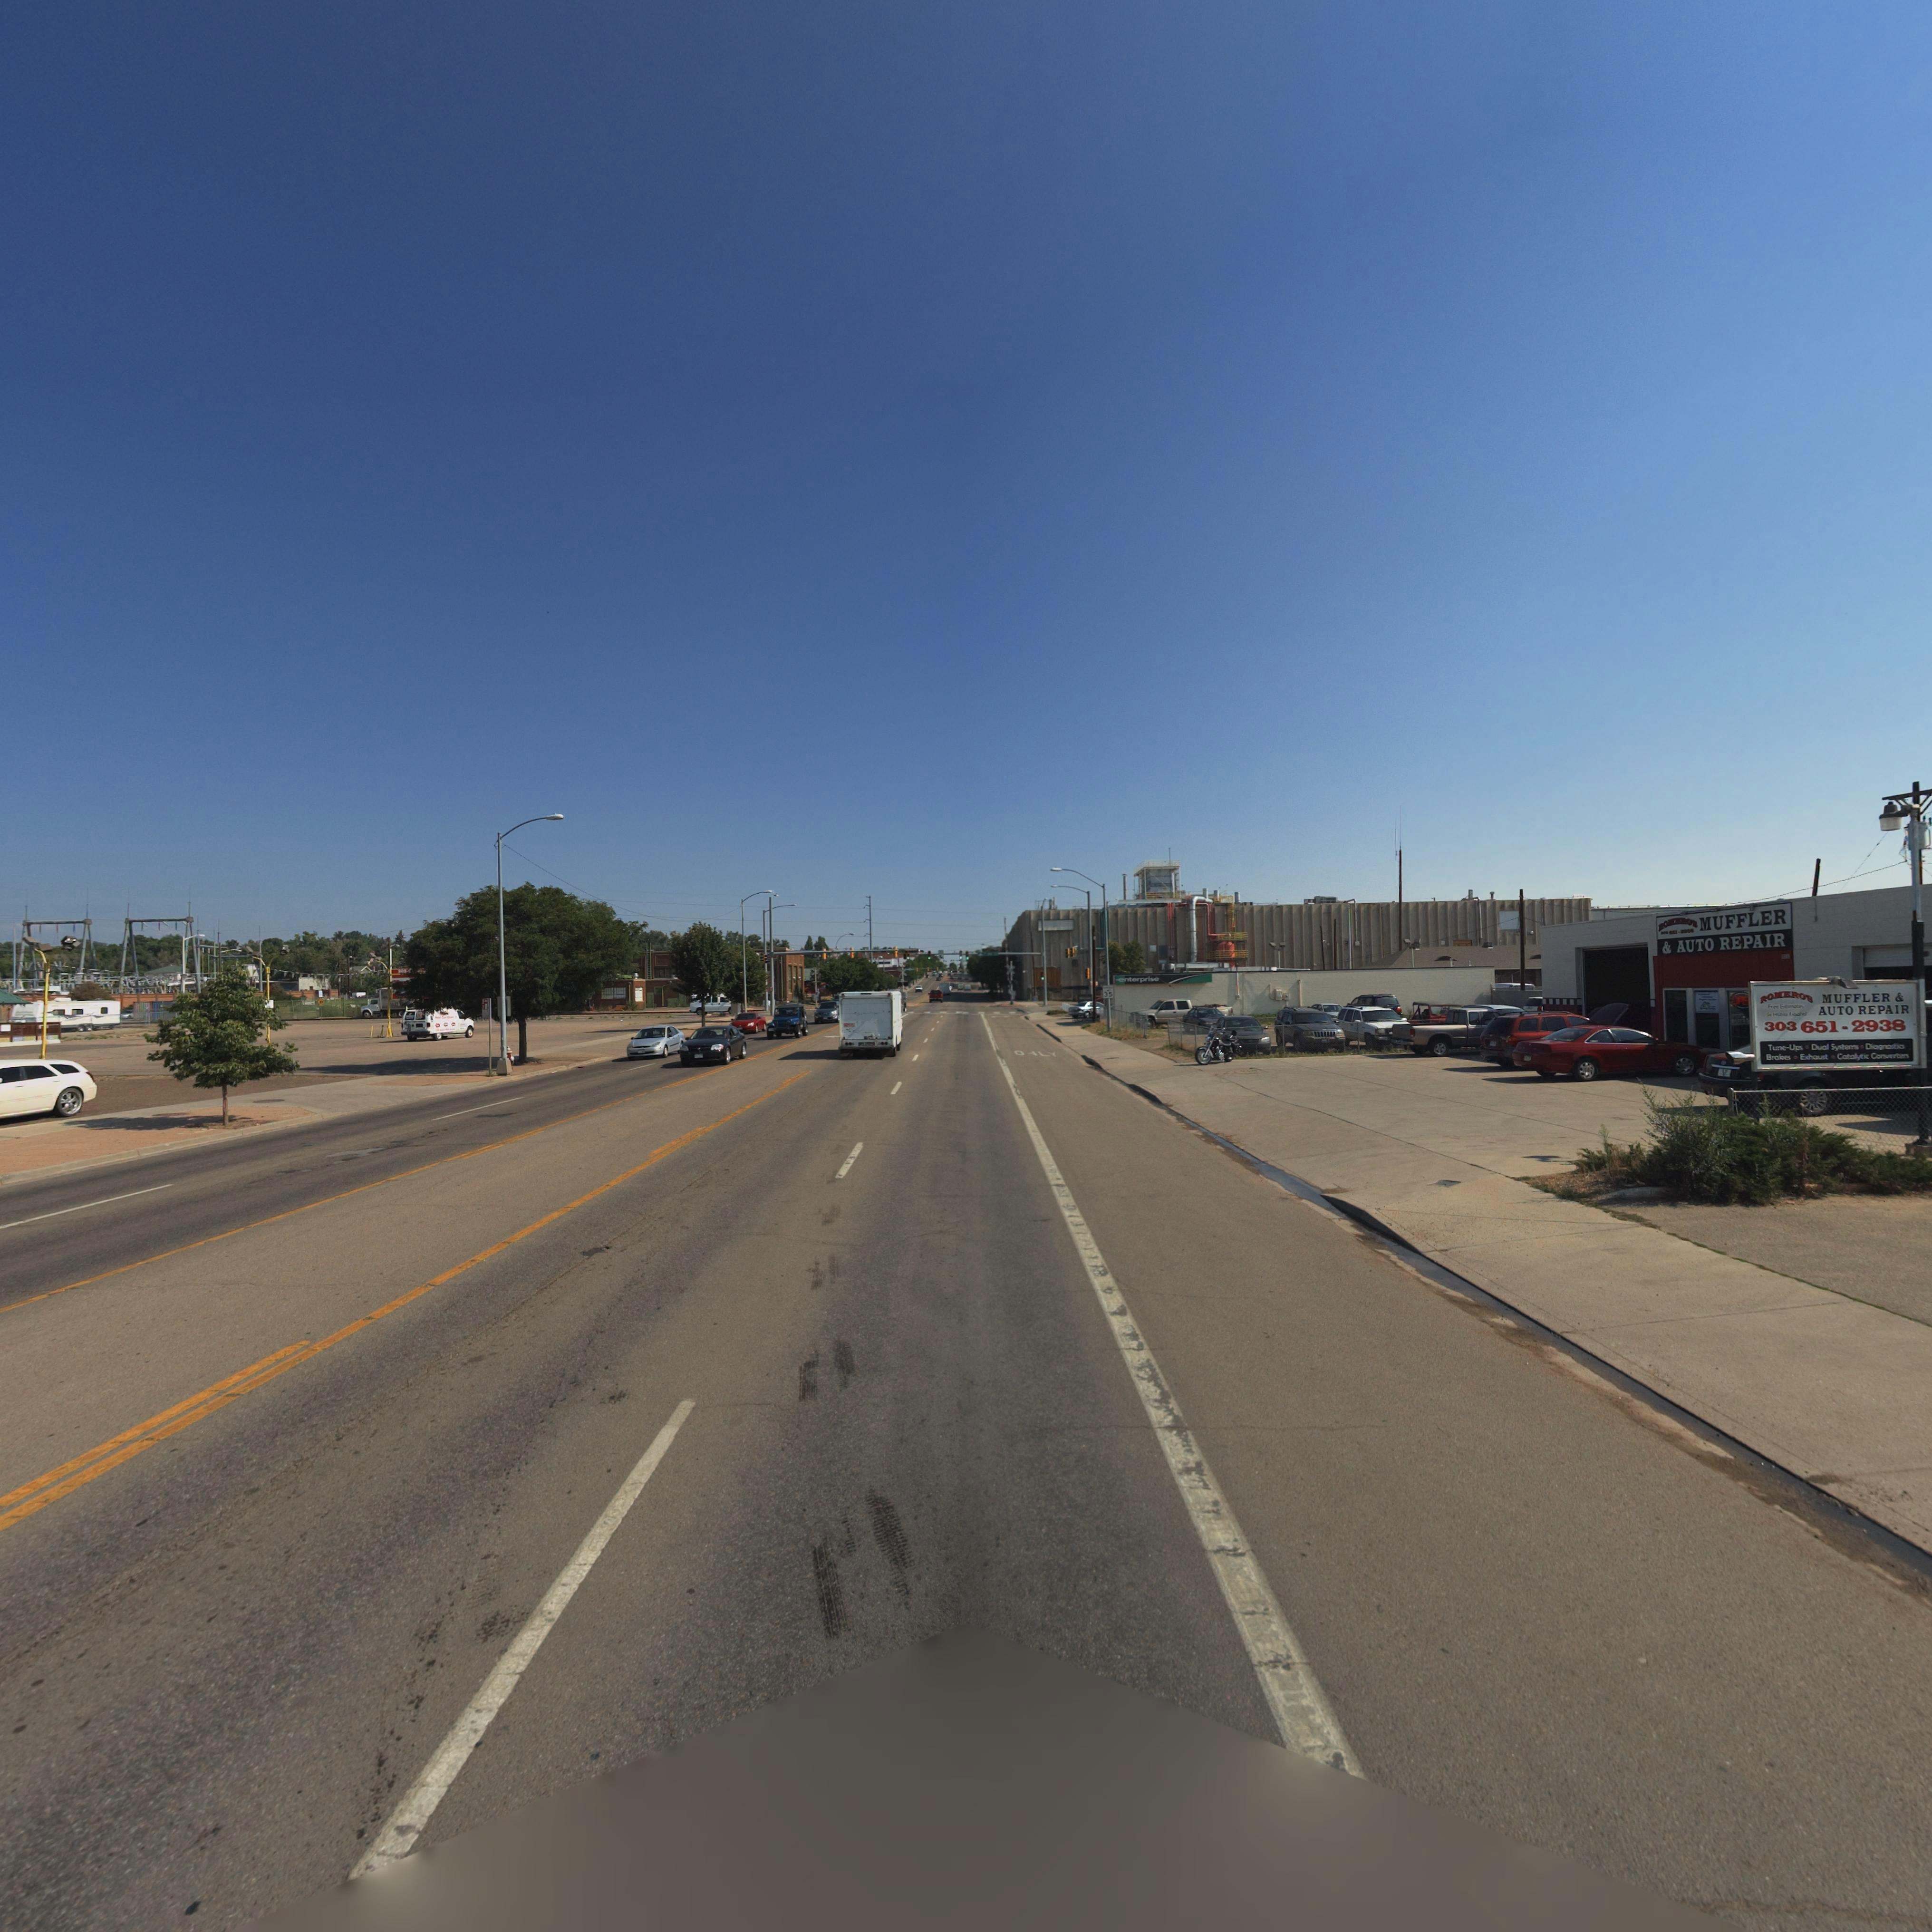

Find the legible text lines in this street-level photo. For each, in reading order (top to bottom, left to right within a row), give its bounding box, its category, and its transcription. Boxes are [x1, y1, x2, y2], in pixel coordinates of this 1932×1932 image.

[1658, 917, 1698, 932] BusinessName: ROMERO'S
[1699, 908, 1786, 931] BusinessName: MUFFLER
[1662, 932, 1786, 954] BusinessName: & AUTO REPAIR
[1115, 976, 1159, 983] BusinessName: enterprise
[1760, 990, 1813, 1004] BusinessName: ROMERO'S
[1821, 992, 1904, 1004] BusinessName: MUFFLER &
[1818, 1004, 1910, 1015] BusinessName: AUTO REPAIR